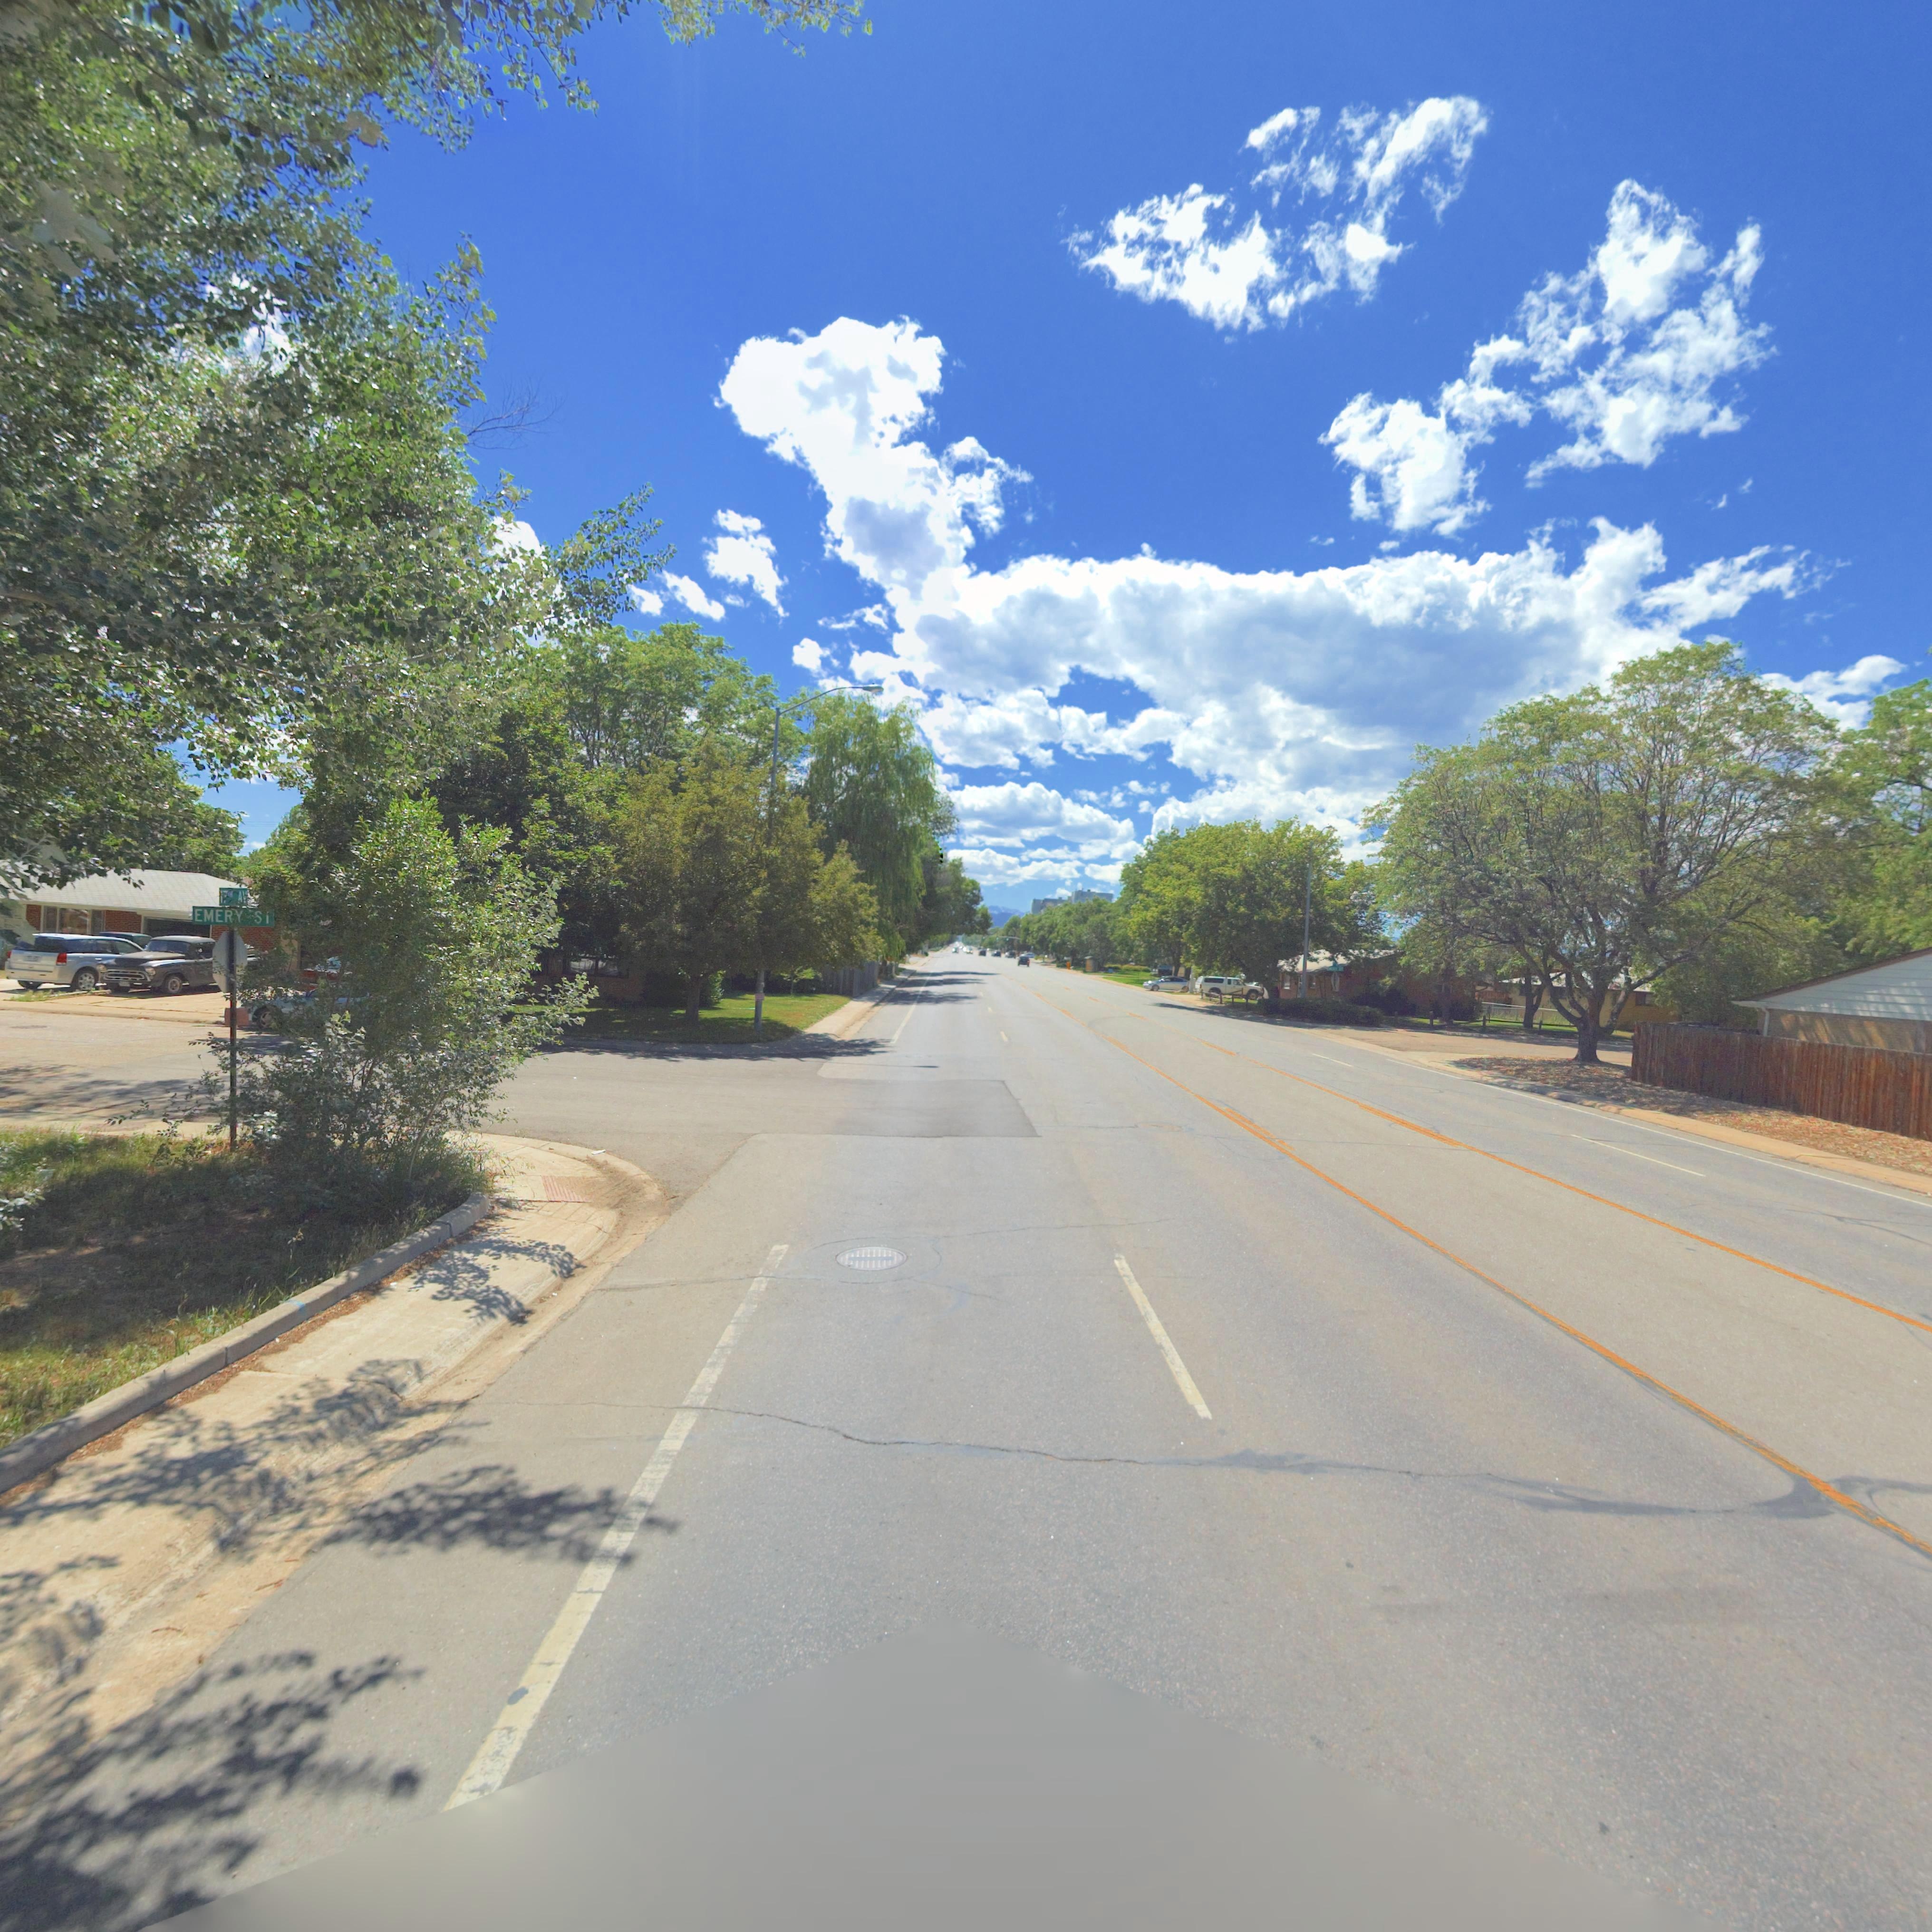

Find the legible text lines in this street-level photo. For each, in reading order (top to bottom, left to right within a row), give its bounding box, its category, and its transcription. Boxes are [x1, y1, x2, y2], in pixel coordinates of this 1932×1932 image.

[220, 889, 247, 904] StreetName: 17*H AV
[194, 908, 272, 924] StreetName: EMERY ST